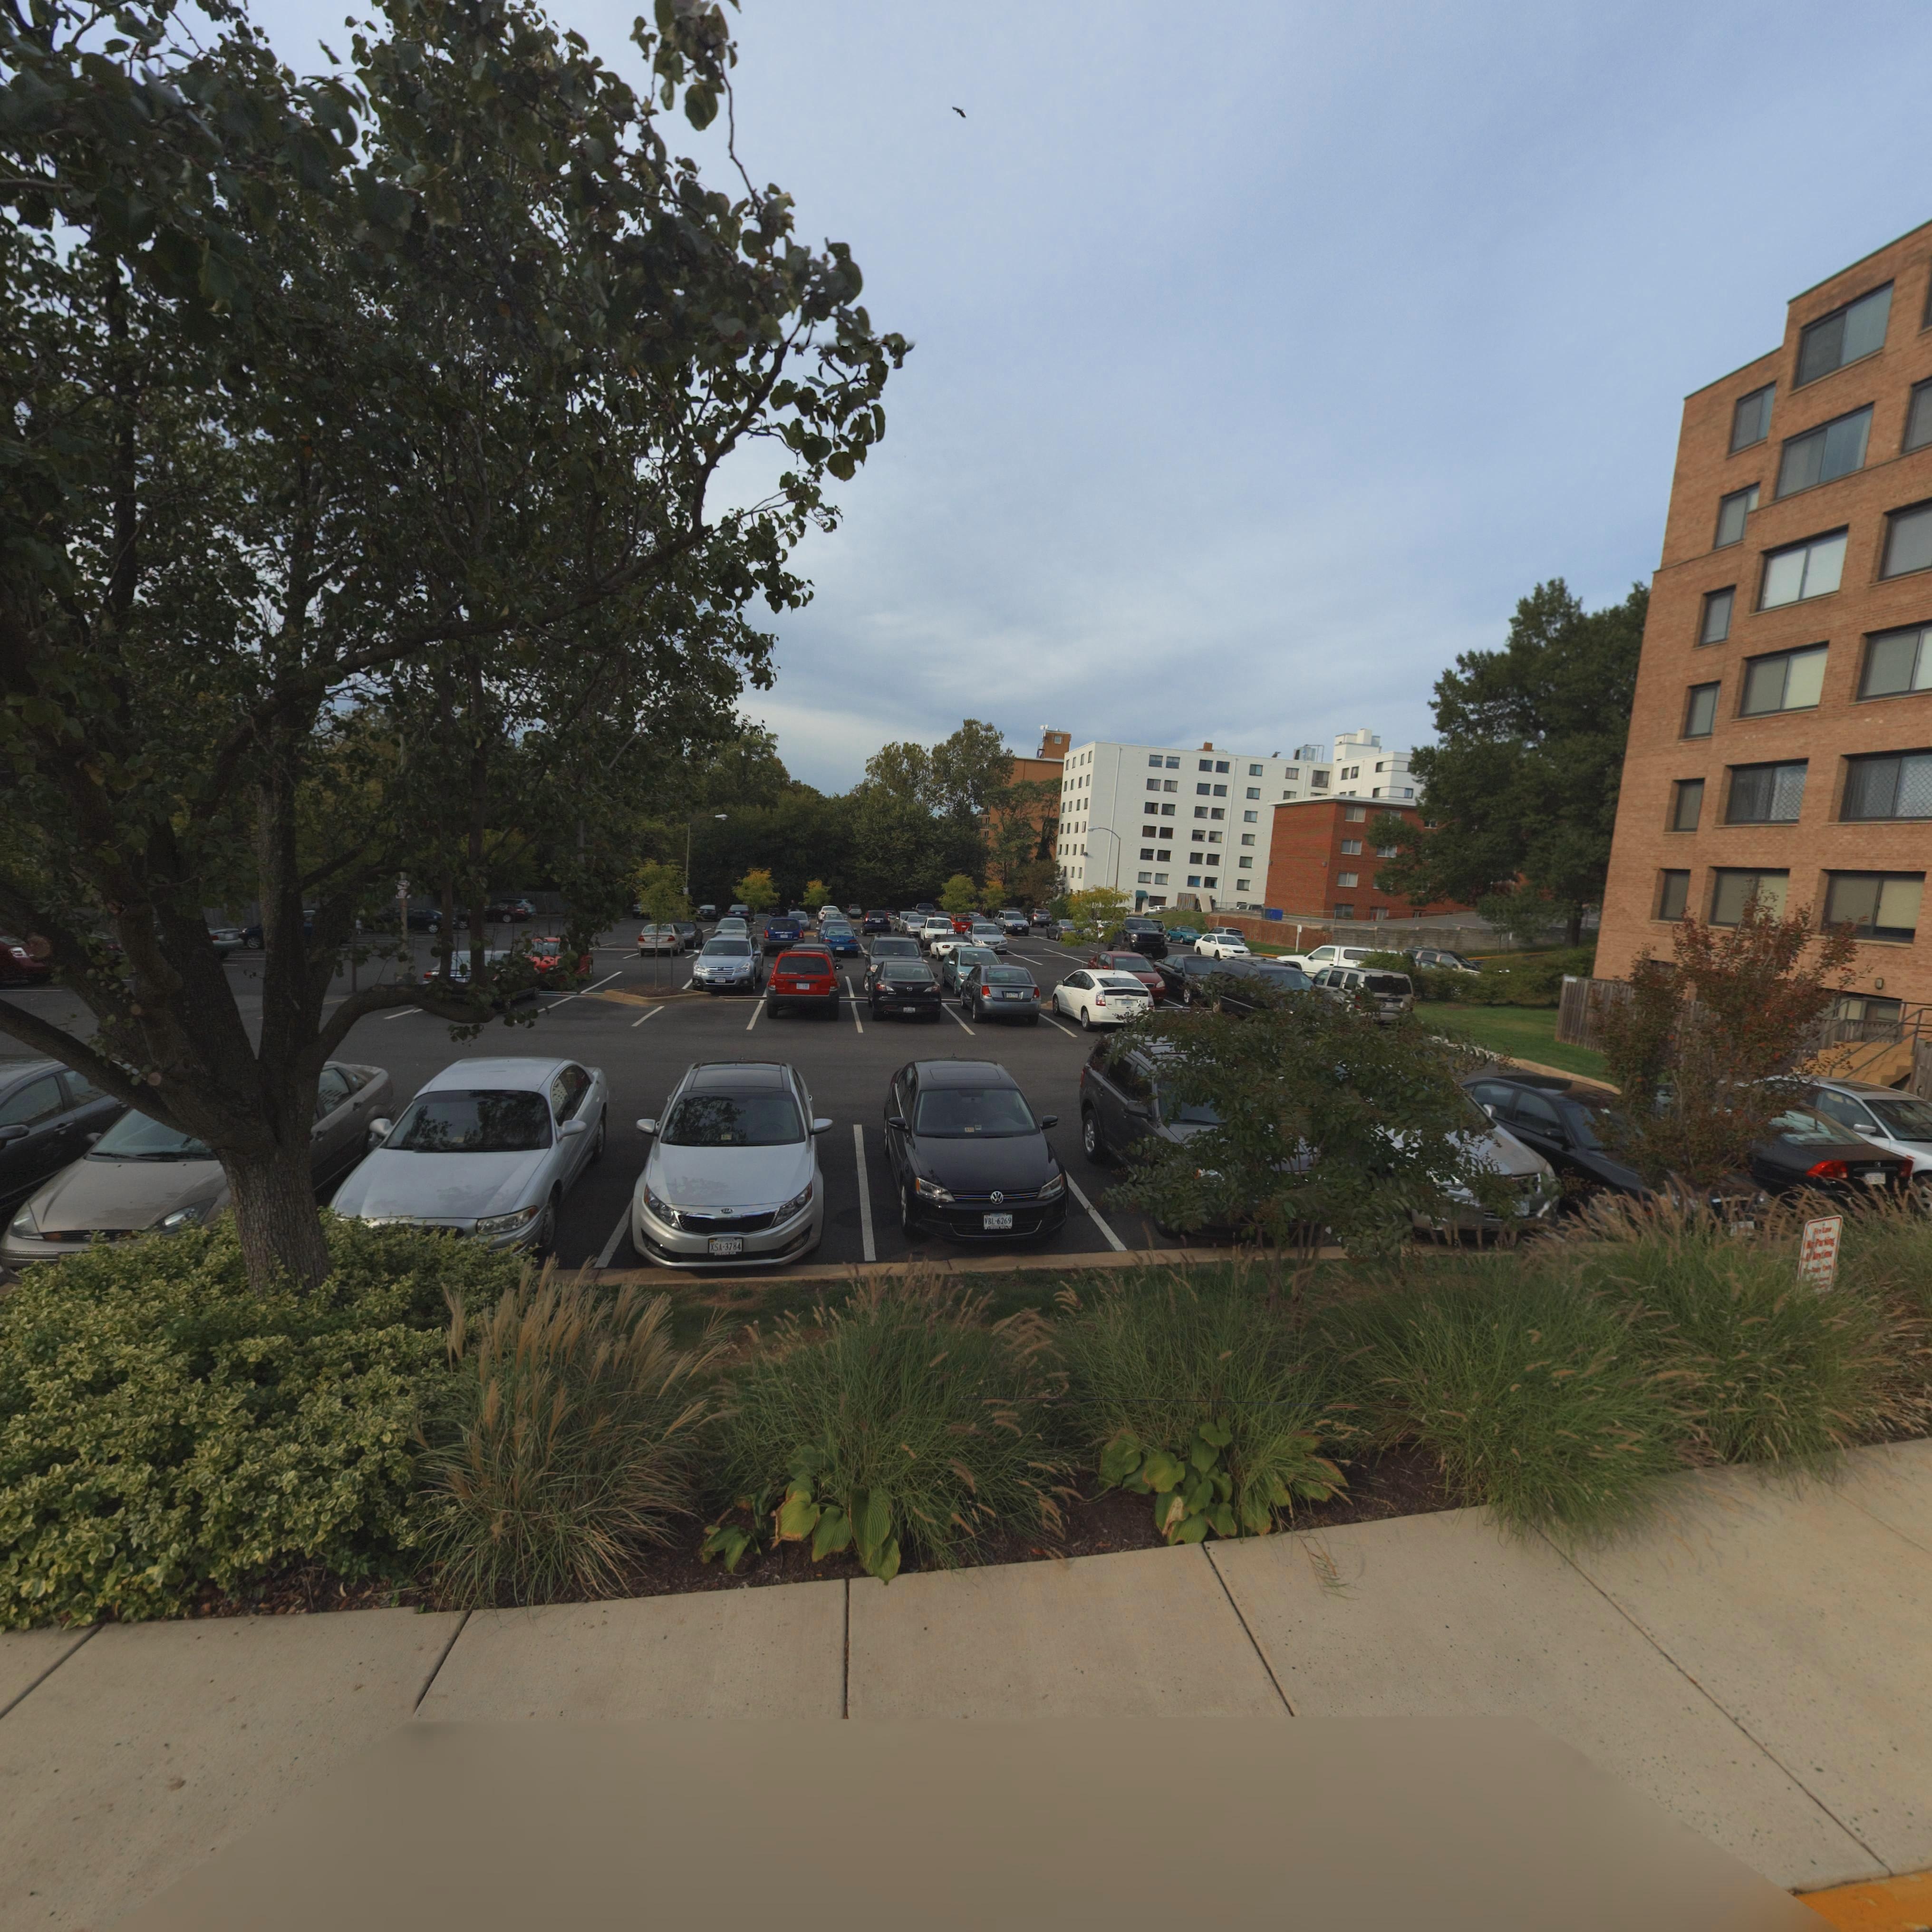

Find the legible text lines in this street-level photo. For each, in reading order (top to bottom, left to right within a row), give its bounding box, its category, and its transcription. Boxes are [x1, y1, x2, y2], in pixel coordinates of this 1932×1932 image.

[725, 1208, 733, 1214] None: IA
[984, 1216, 1013, 1226] None: VBL-6269
[709, 1241, 742, 1252] None: XSA-3784